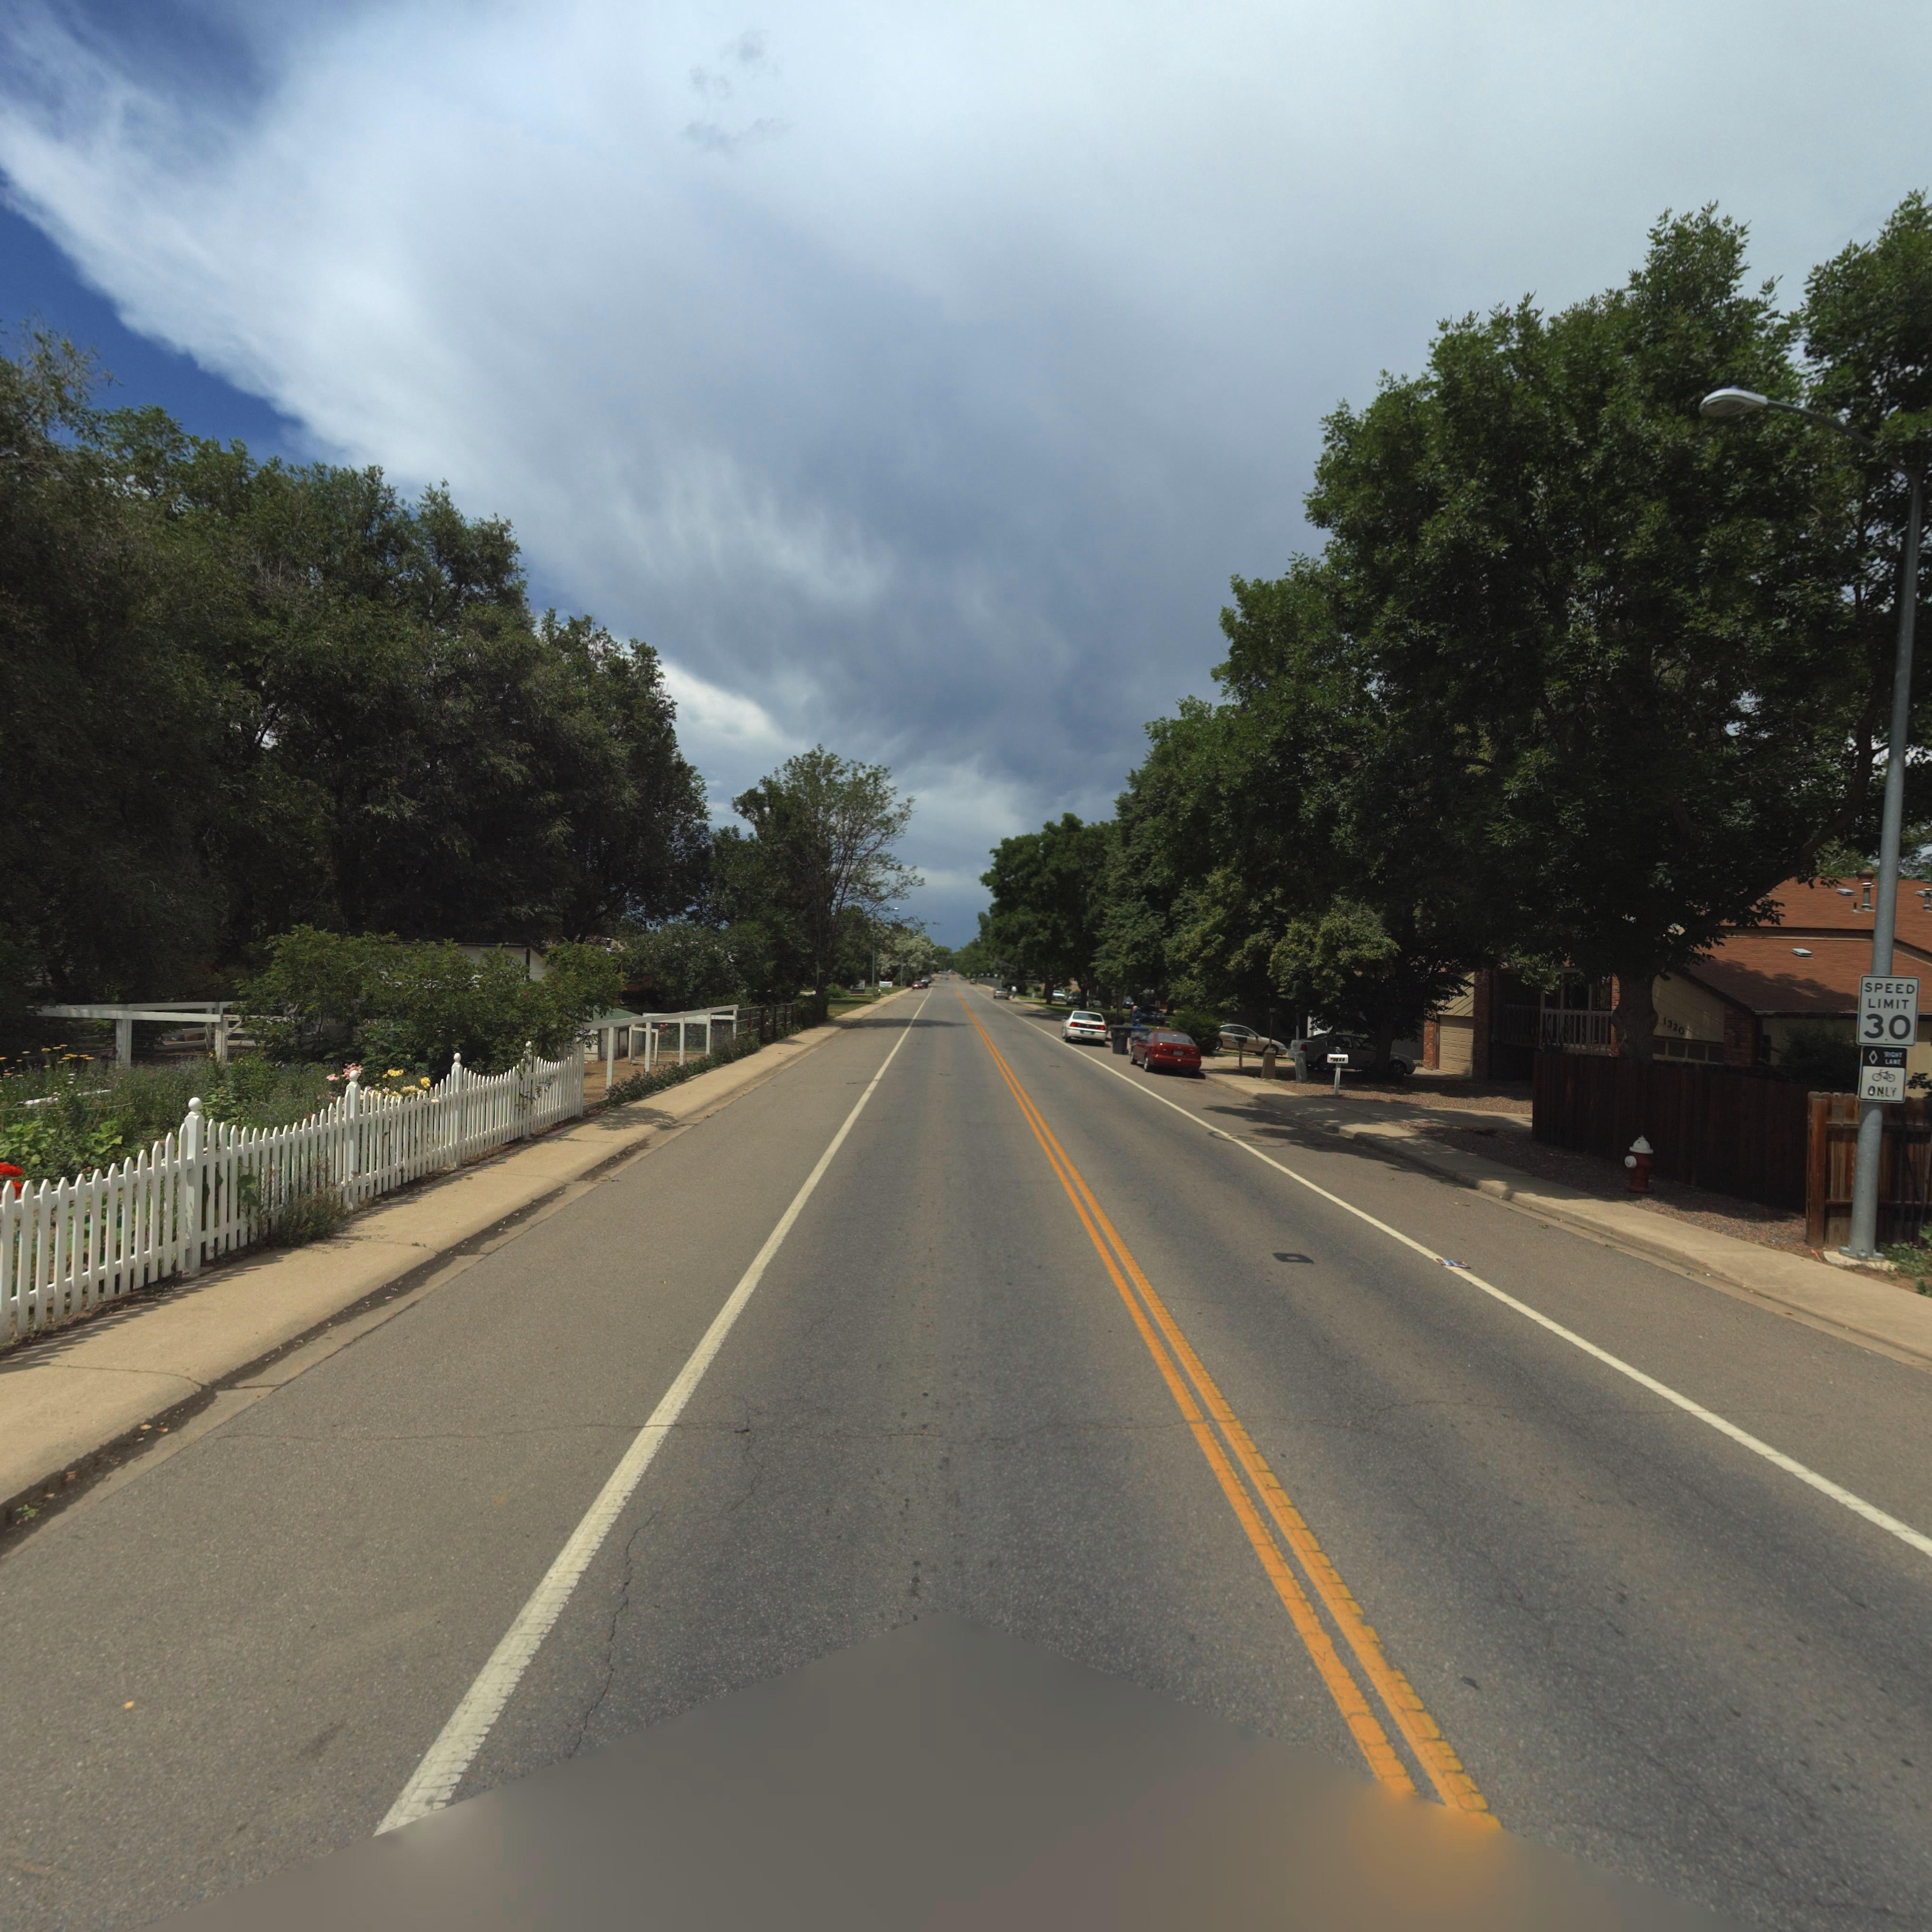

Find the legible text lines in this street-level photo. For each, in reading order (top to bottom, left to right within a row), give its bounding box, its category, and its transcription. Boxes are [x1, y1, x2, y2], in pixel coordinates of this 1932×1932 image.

[1662, 1016, 1685, 1035] StreetNumber: 1320
[1342, 1058, 1344, 1062] StreetNumber: 0